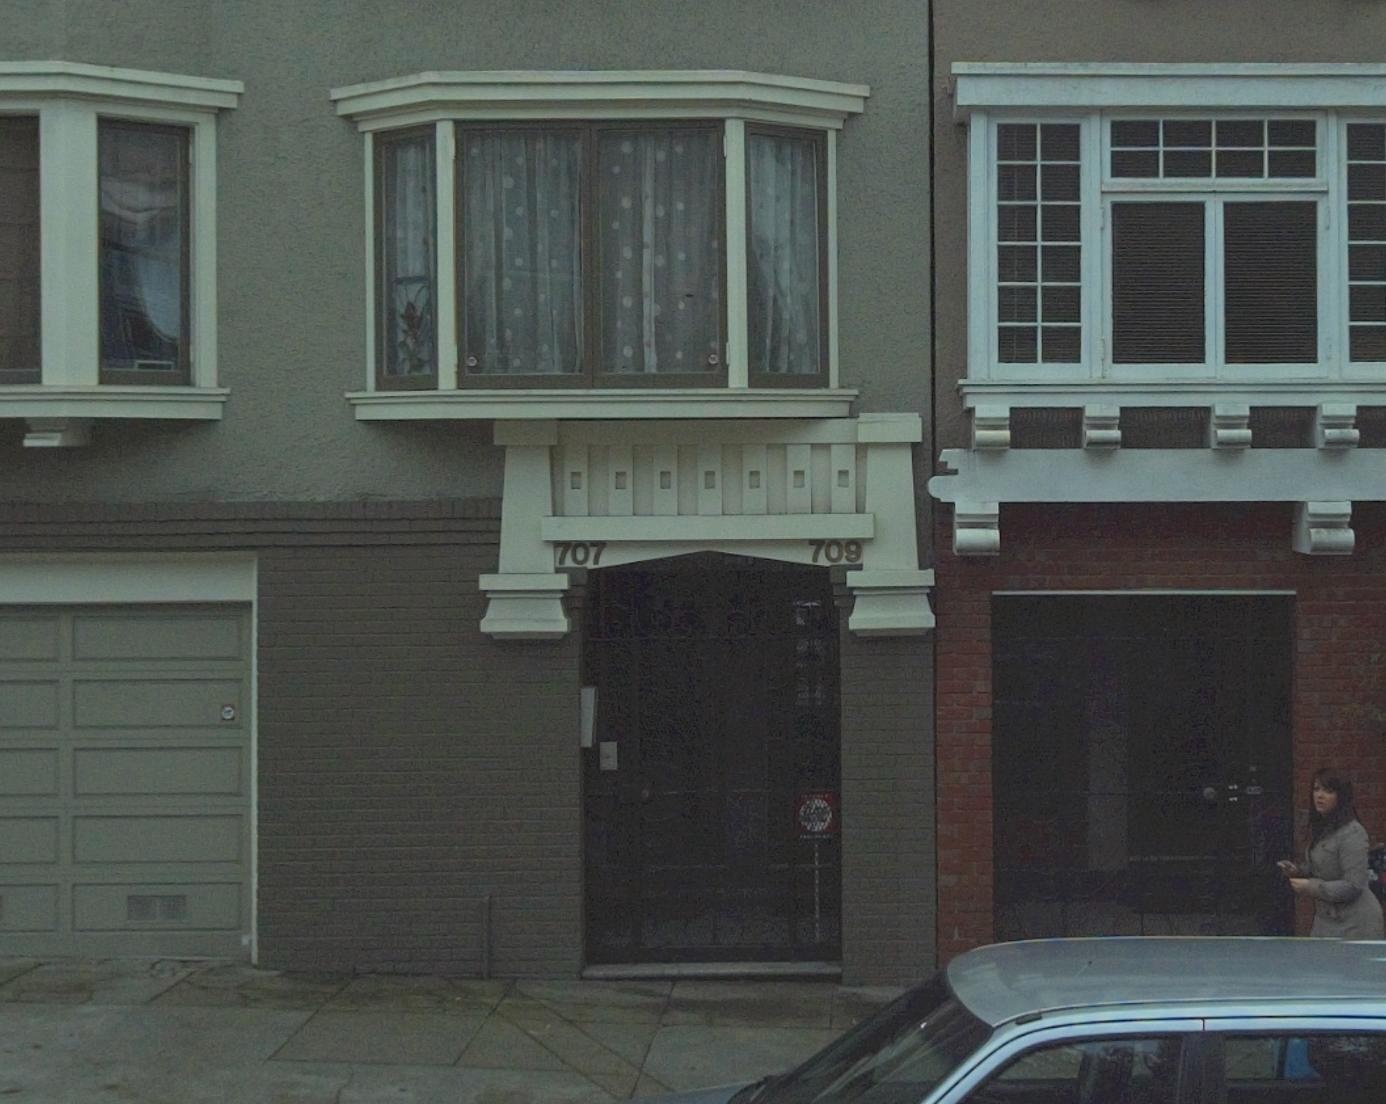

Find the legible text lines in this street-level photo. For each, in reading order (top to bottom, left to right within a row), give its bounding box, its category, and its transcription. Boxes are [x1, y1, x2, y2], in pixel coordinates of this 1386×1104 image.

[552, 539, 610, 568] StreetNumber: 707
[807, 537, 864, 565] StreetNumber: 709